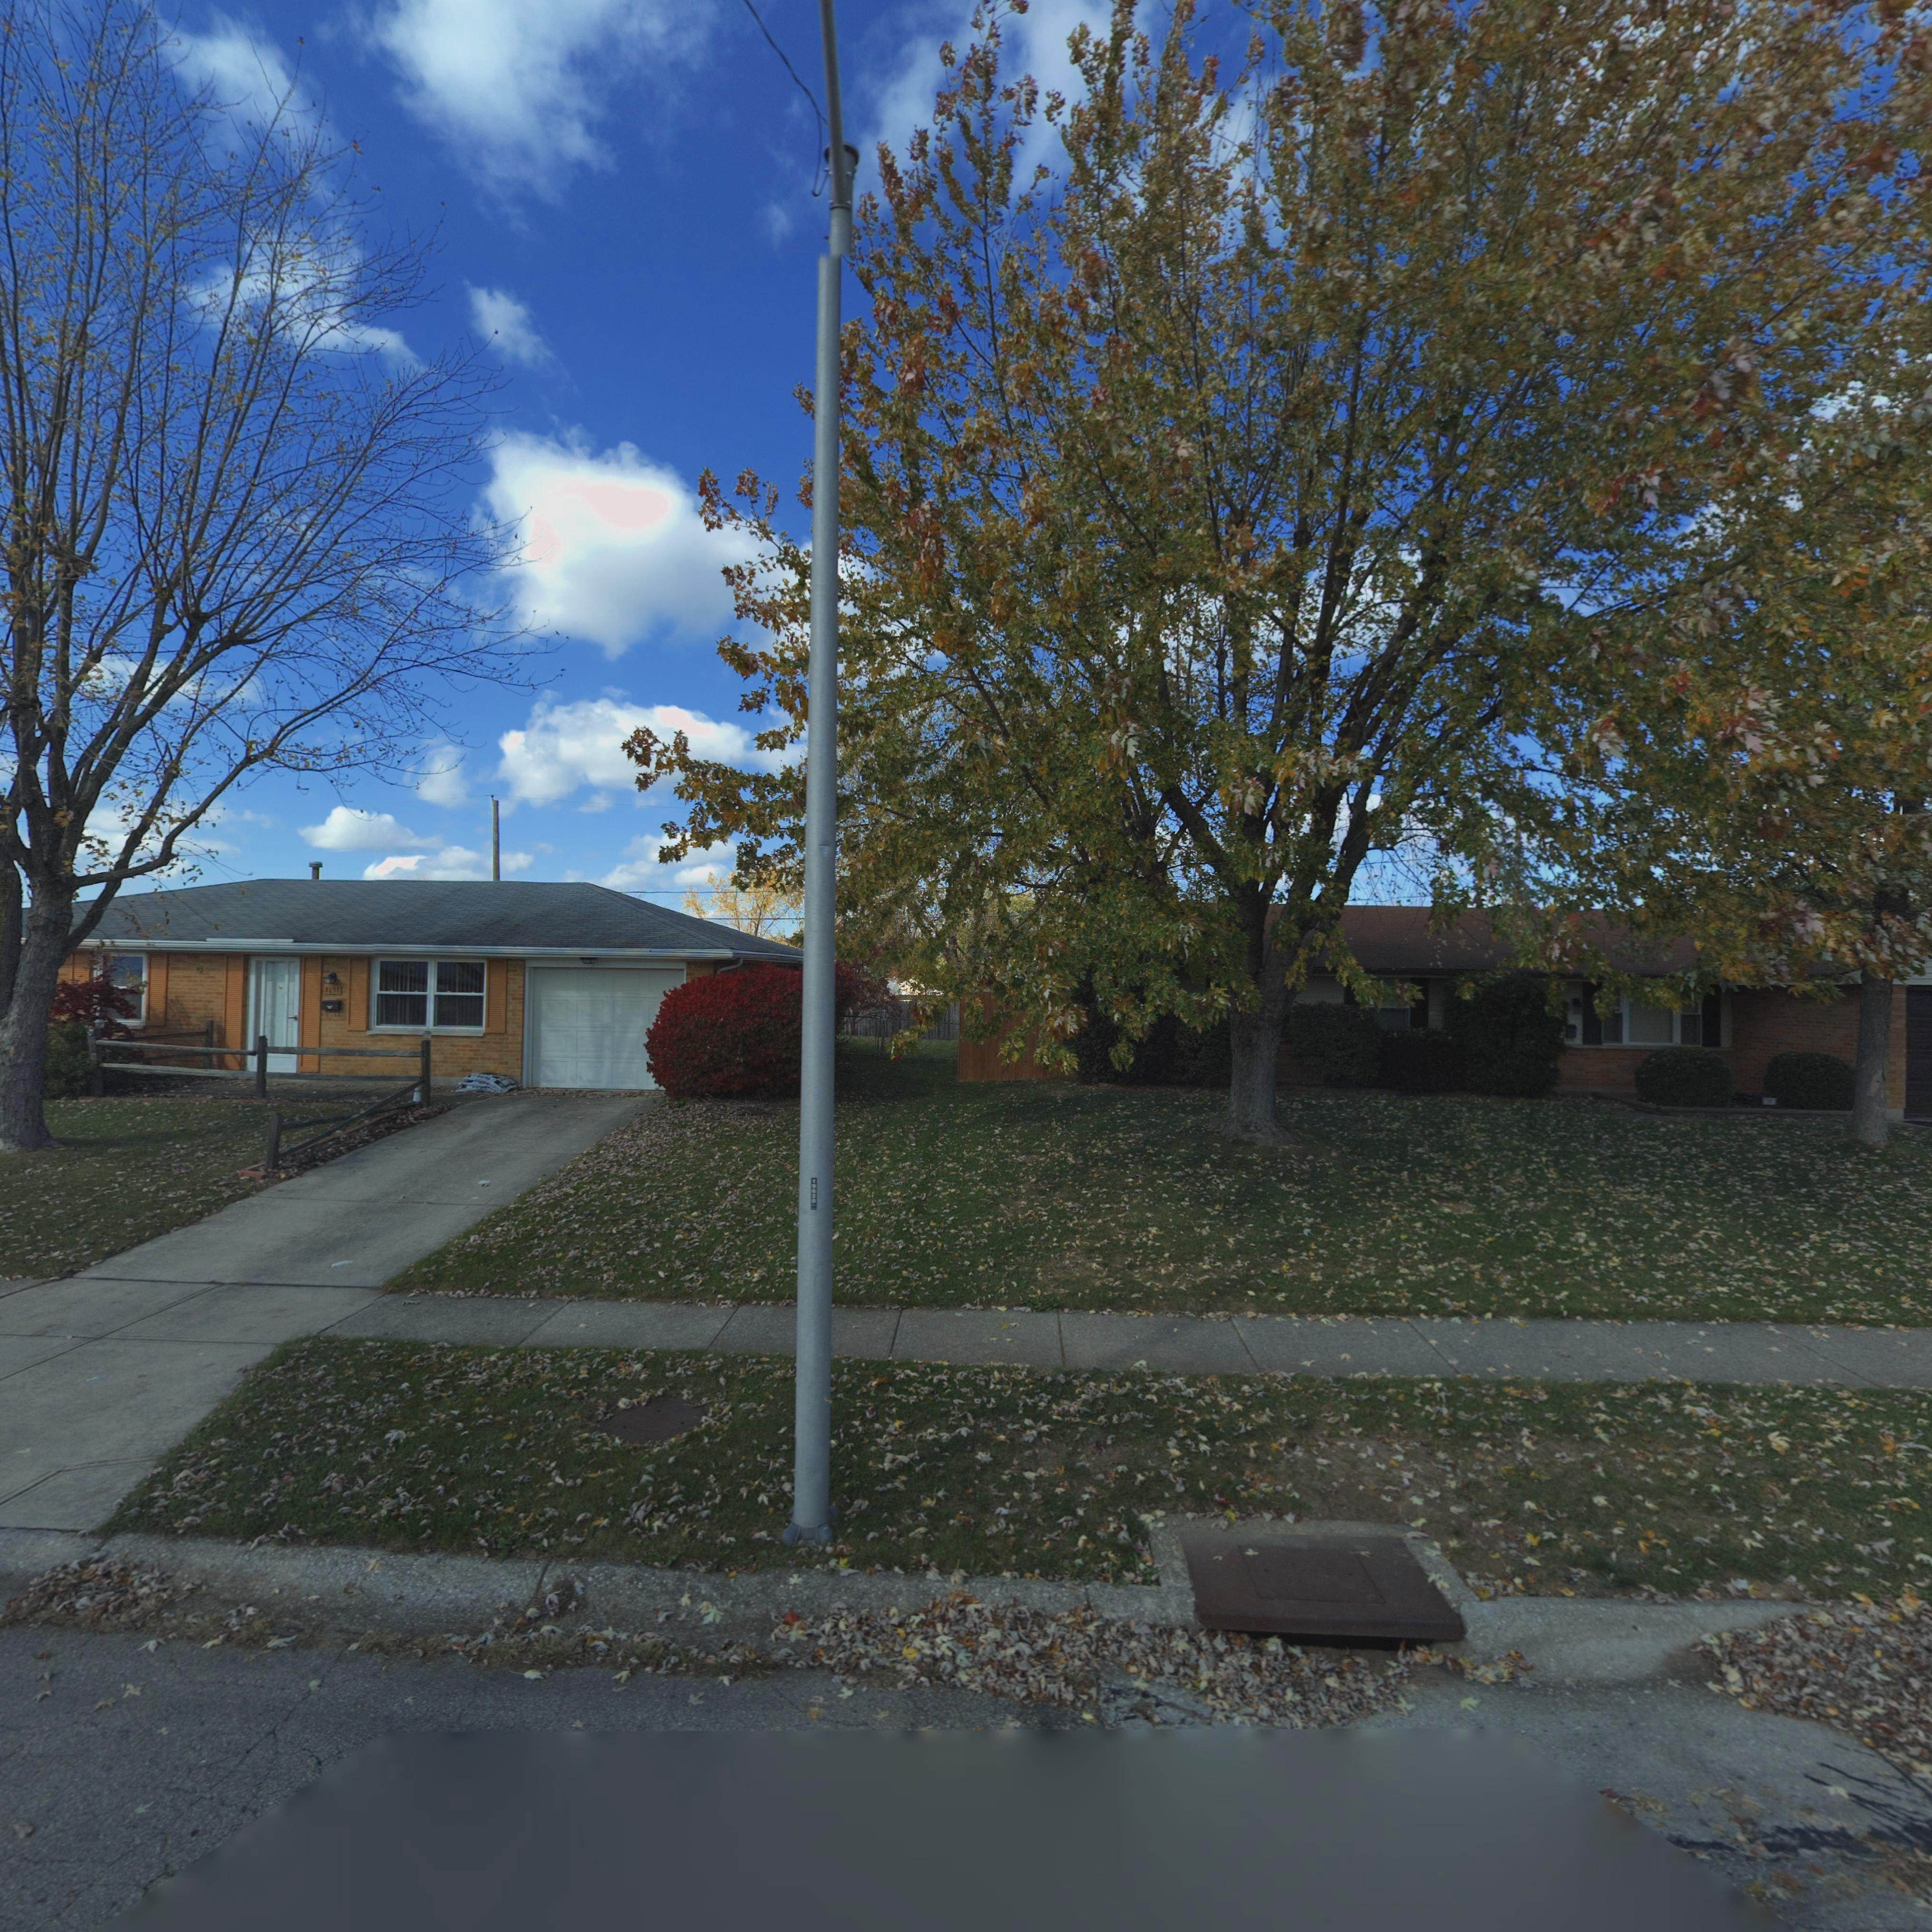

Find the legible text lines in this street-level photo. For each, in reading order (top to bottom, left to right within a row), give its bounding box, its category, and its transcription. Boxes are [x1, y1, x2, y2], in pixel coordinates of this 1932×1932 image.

[325, 986, 339, 994] StreetNumber: 7691